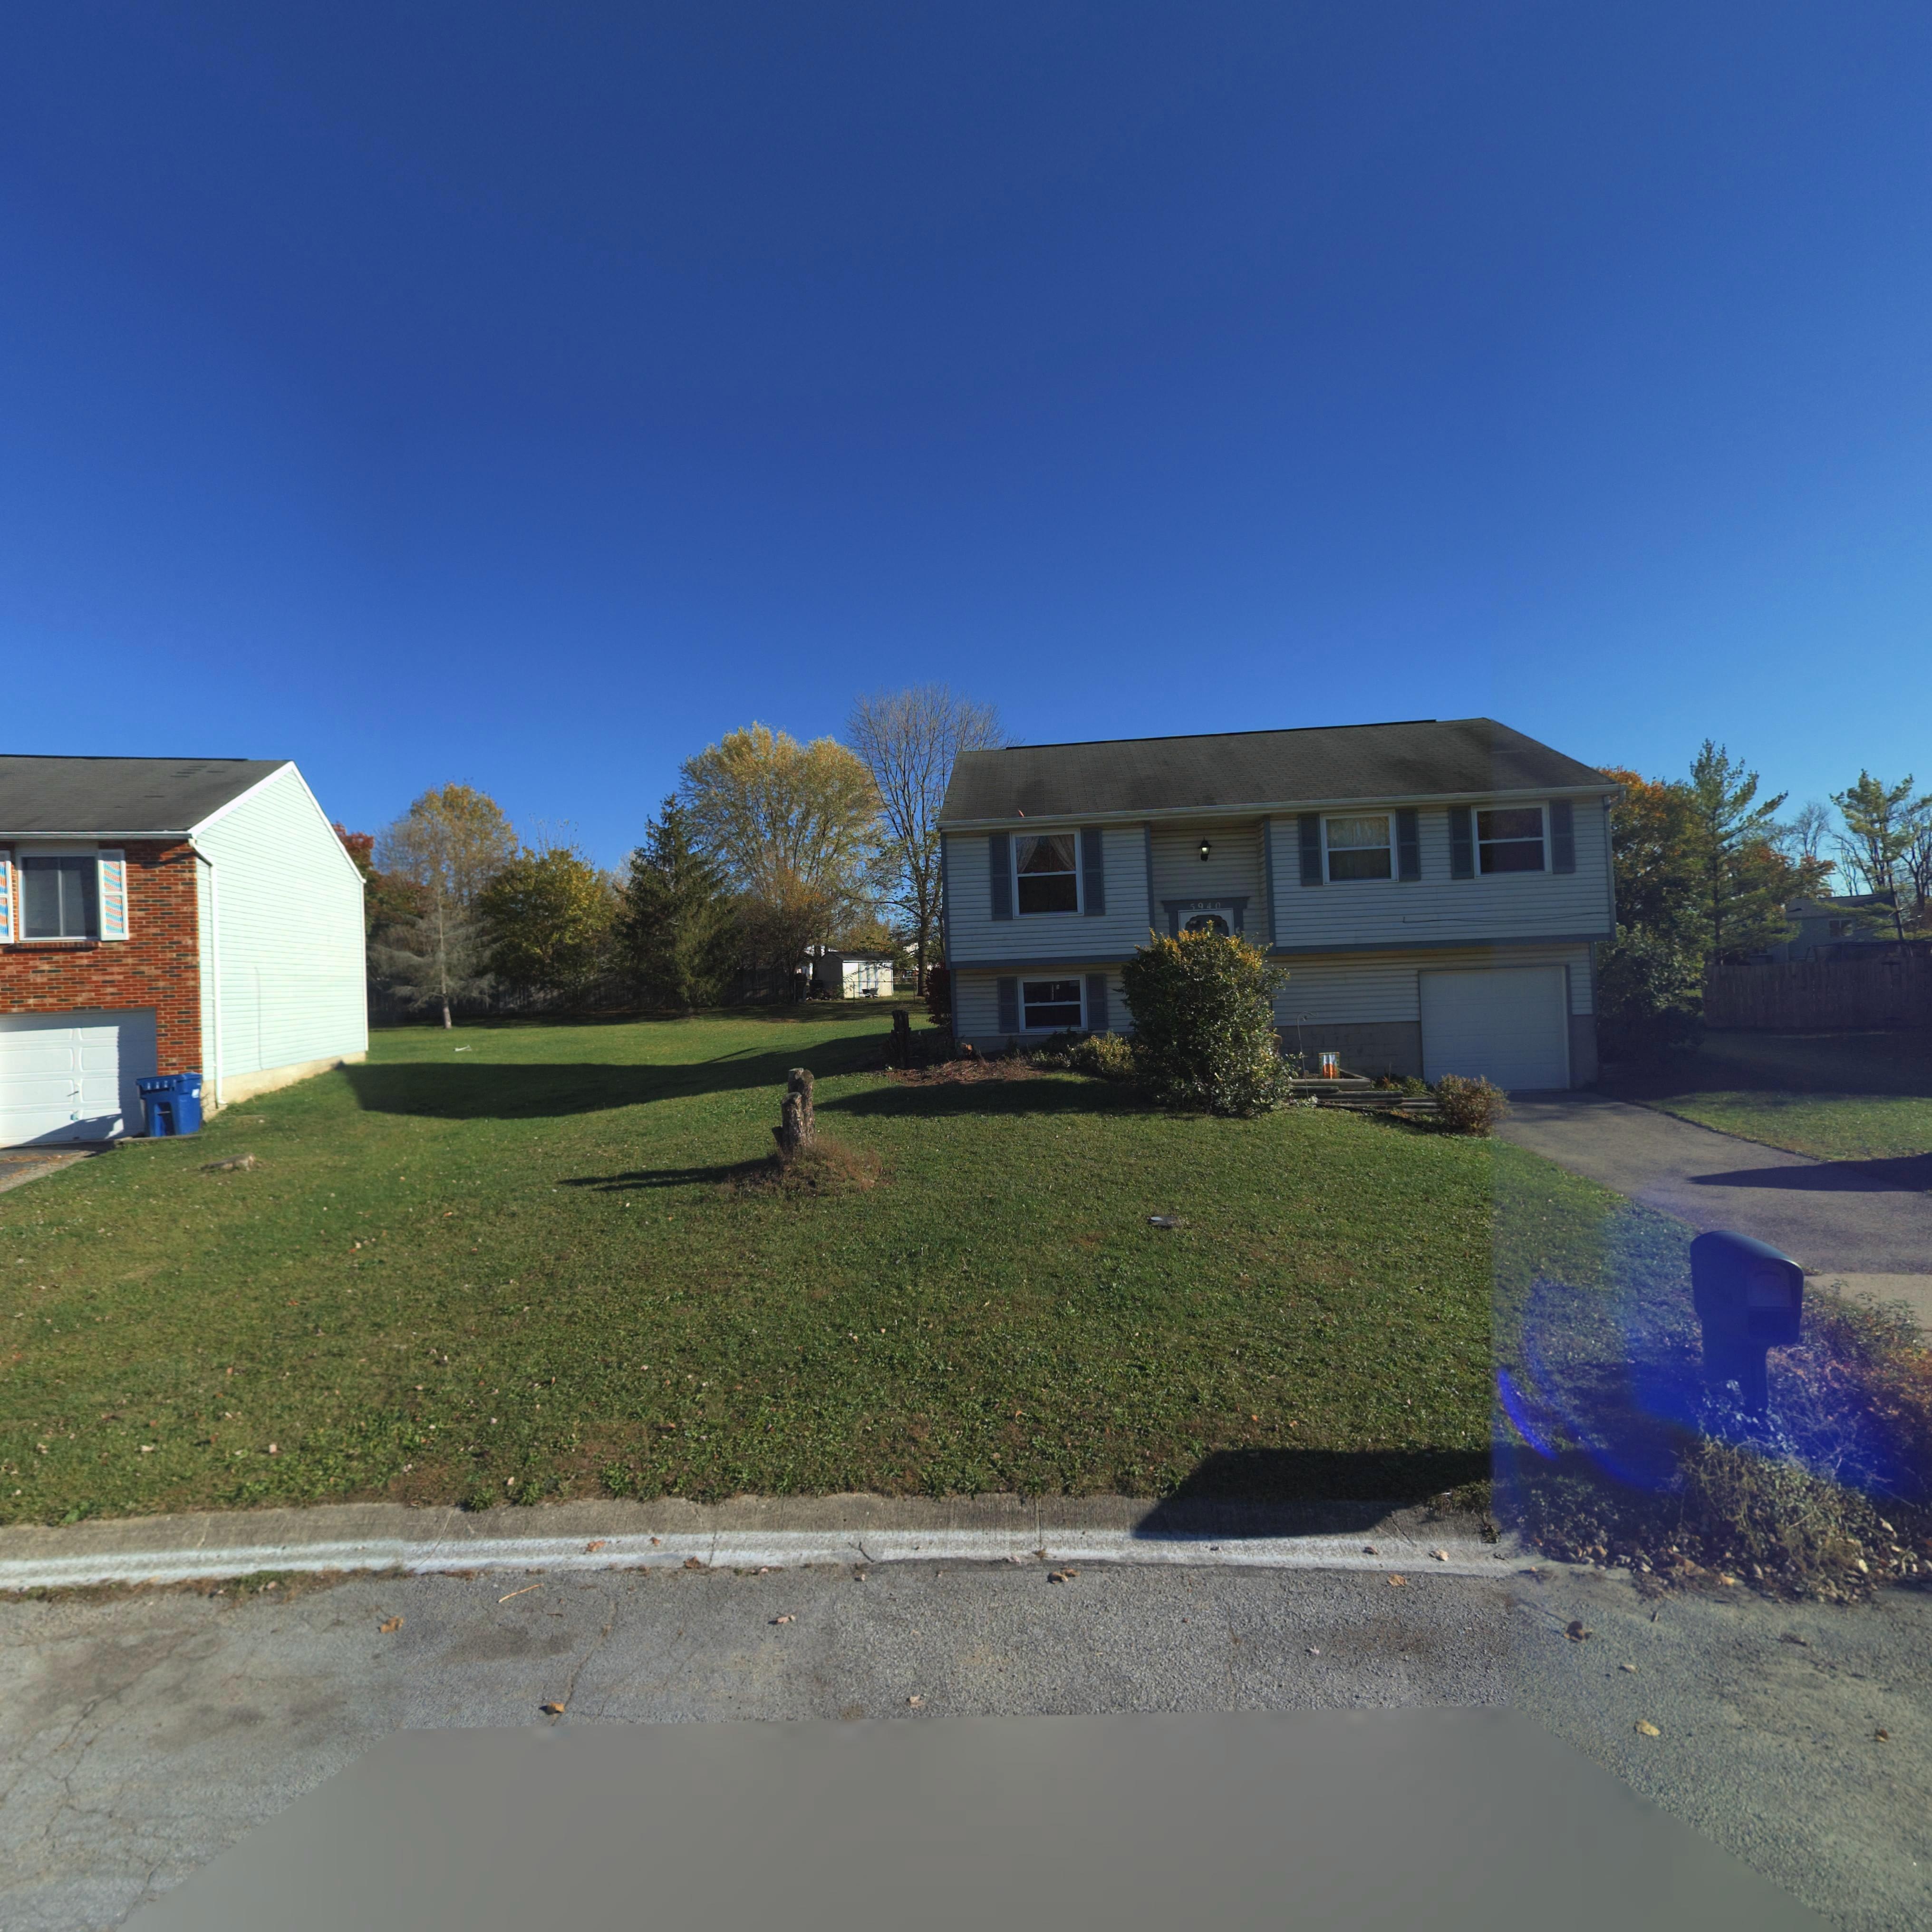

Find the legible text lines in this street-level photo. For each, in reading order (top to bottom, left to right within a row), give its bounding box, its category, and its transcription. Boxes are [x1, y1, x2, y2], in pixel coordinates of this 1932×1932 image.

[1189, 901, 1222, 912] StreetNumber: 5940